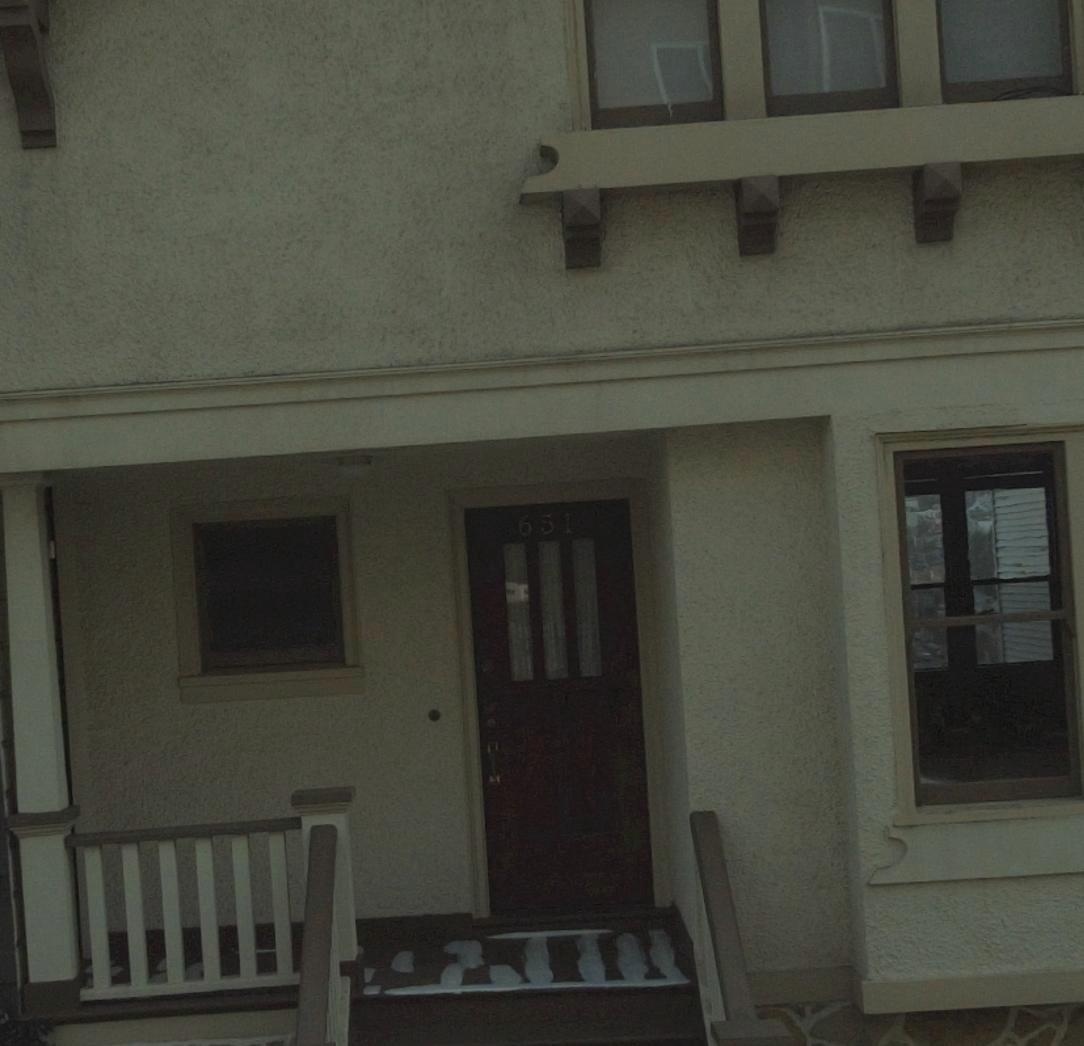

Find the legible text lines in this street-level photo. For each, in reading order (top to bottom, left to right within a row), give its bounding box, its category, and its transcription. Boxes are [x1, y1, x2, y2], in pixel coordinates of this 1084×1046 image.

[516, 512, 575, 538] StreetNumber: 651